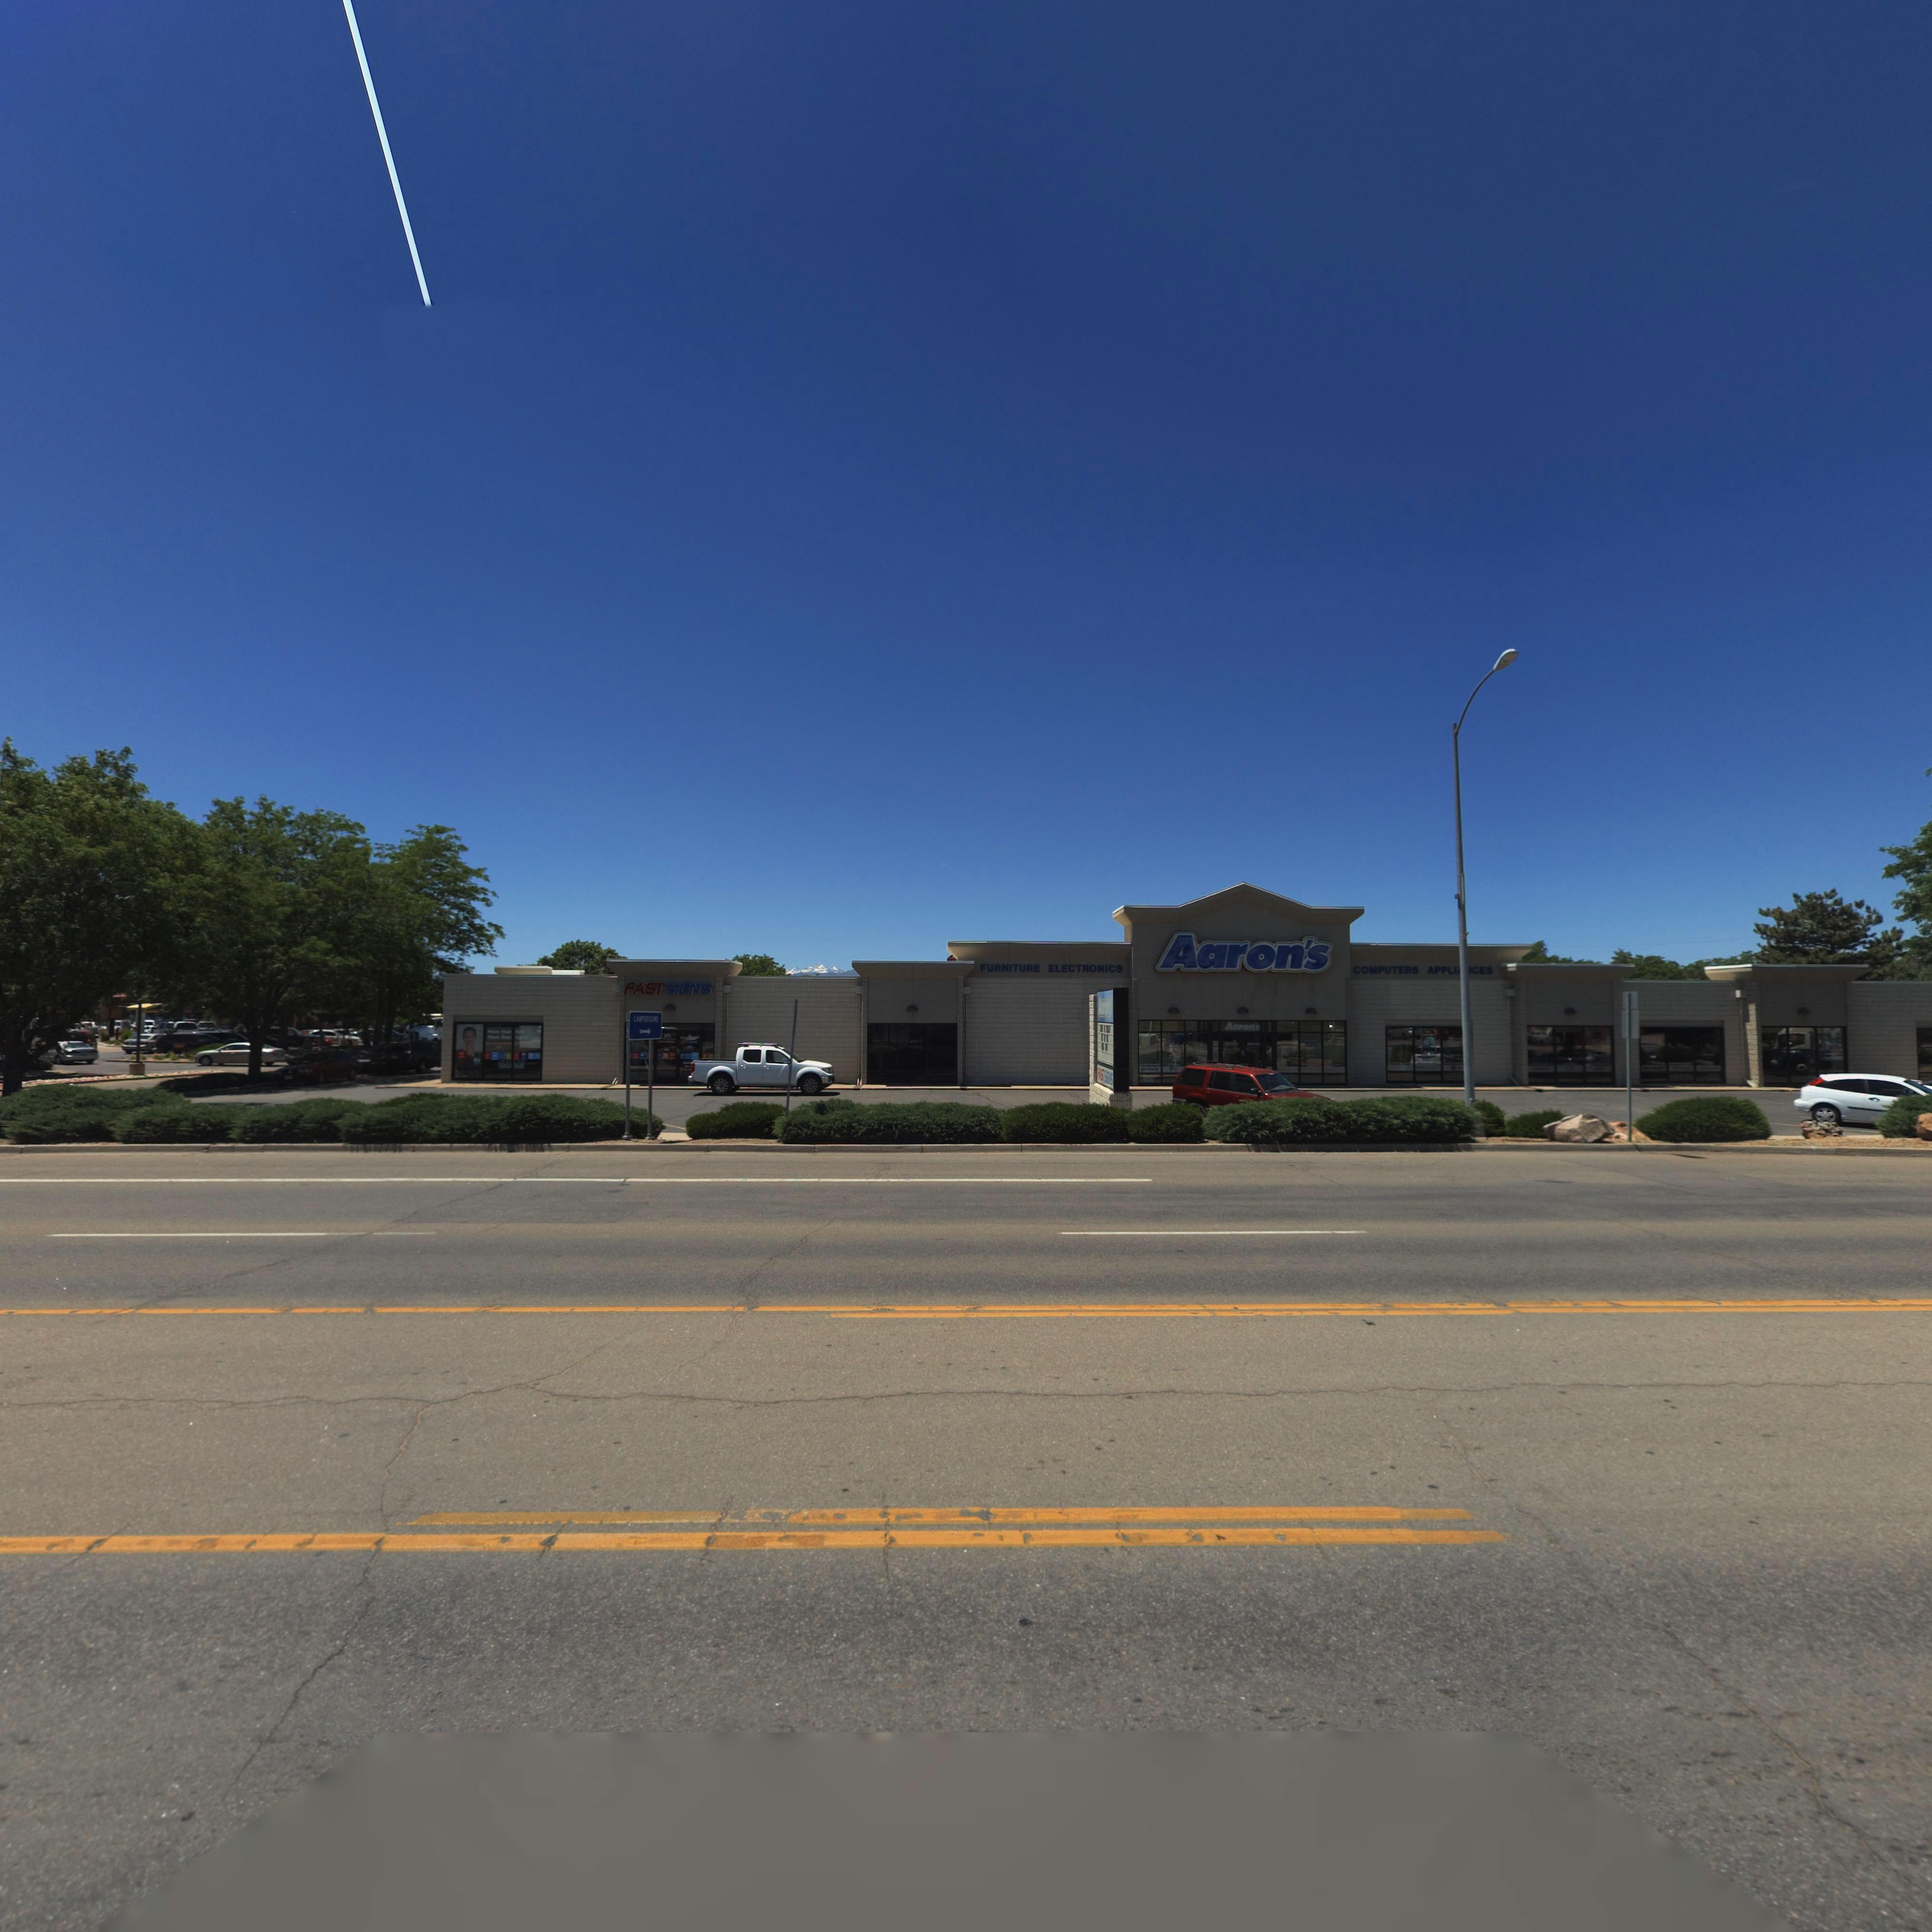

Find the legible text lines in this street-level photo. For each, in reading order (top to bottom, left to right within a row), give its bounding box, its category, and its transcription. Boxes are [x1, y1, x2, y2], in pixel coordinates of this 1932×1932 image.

[1160, 934, 1329, 970] BusinessName: Aaron's
[624, 983, 713, 995] BusinessName: FAST SIGNS
[1098, 995, 1113, 1015] BusinessName: A****'s
[1224, 1022, 1260, 1030] BusinessName: Aaron's
[663, 1034, 671, 1038] StreetNumber: 203
[1097, 1067, 1113, 1086] BusinessName: F*S* S*G*S